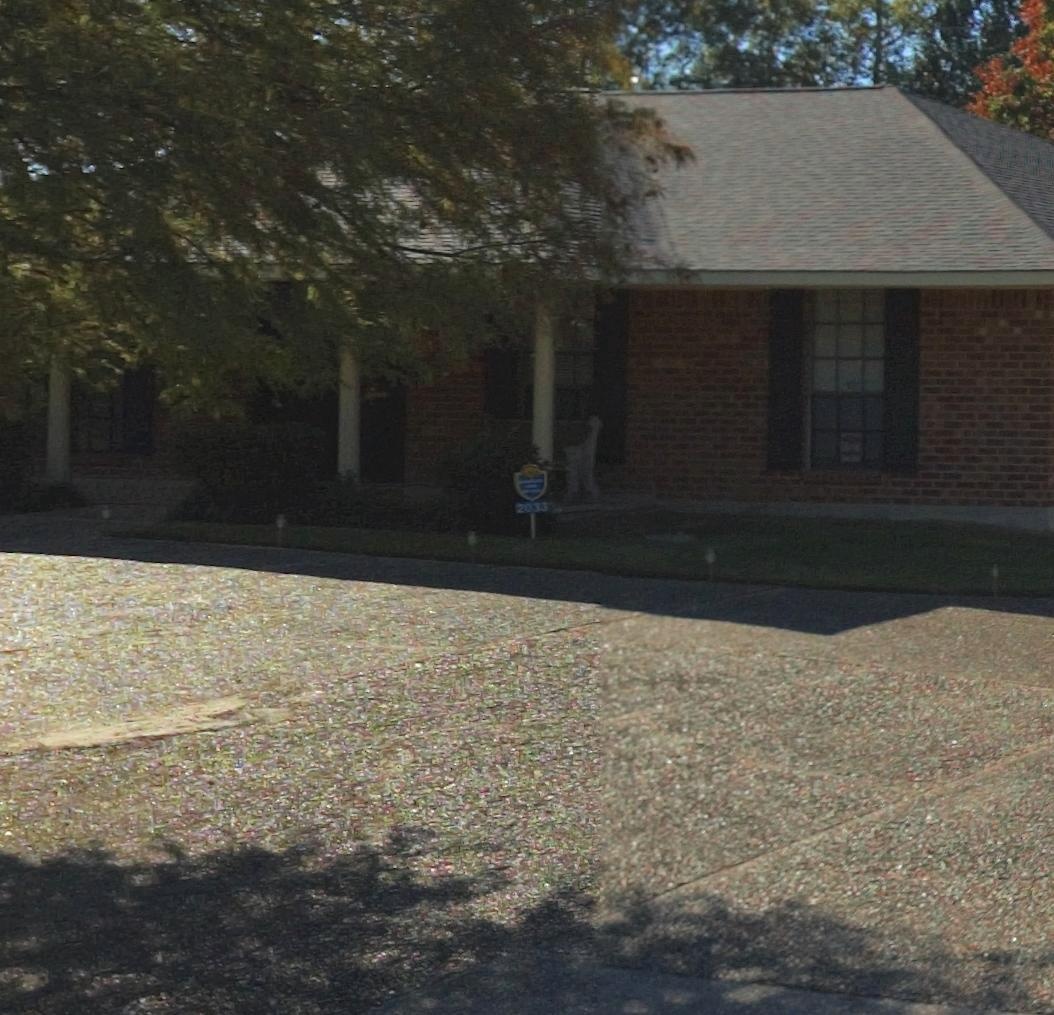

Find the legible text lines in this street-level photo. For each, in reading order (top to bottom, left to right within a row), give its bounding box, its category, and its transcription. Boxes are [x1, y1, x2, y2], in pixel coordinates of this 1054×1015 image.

[515, 499, 550, 516] StreetNumber: 2033